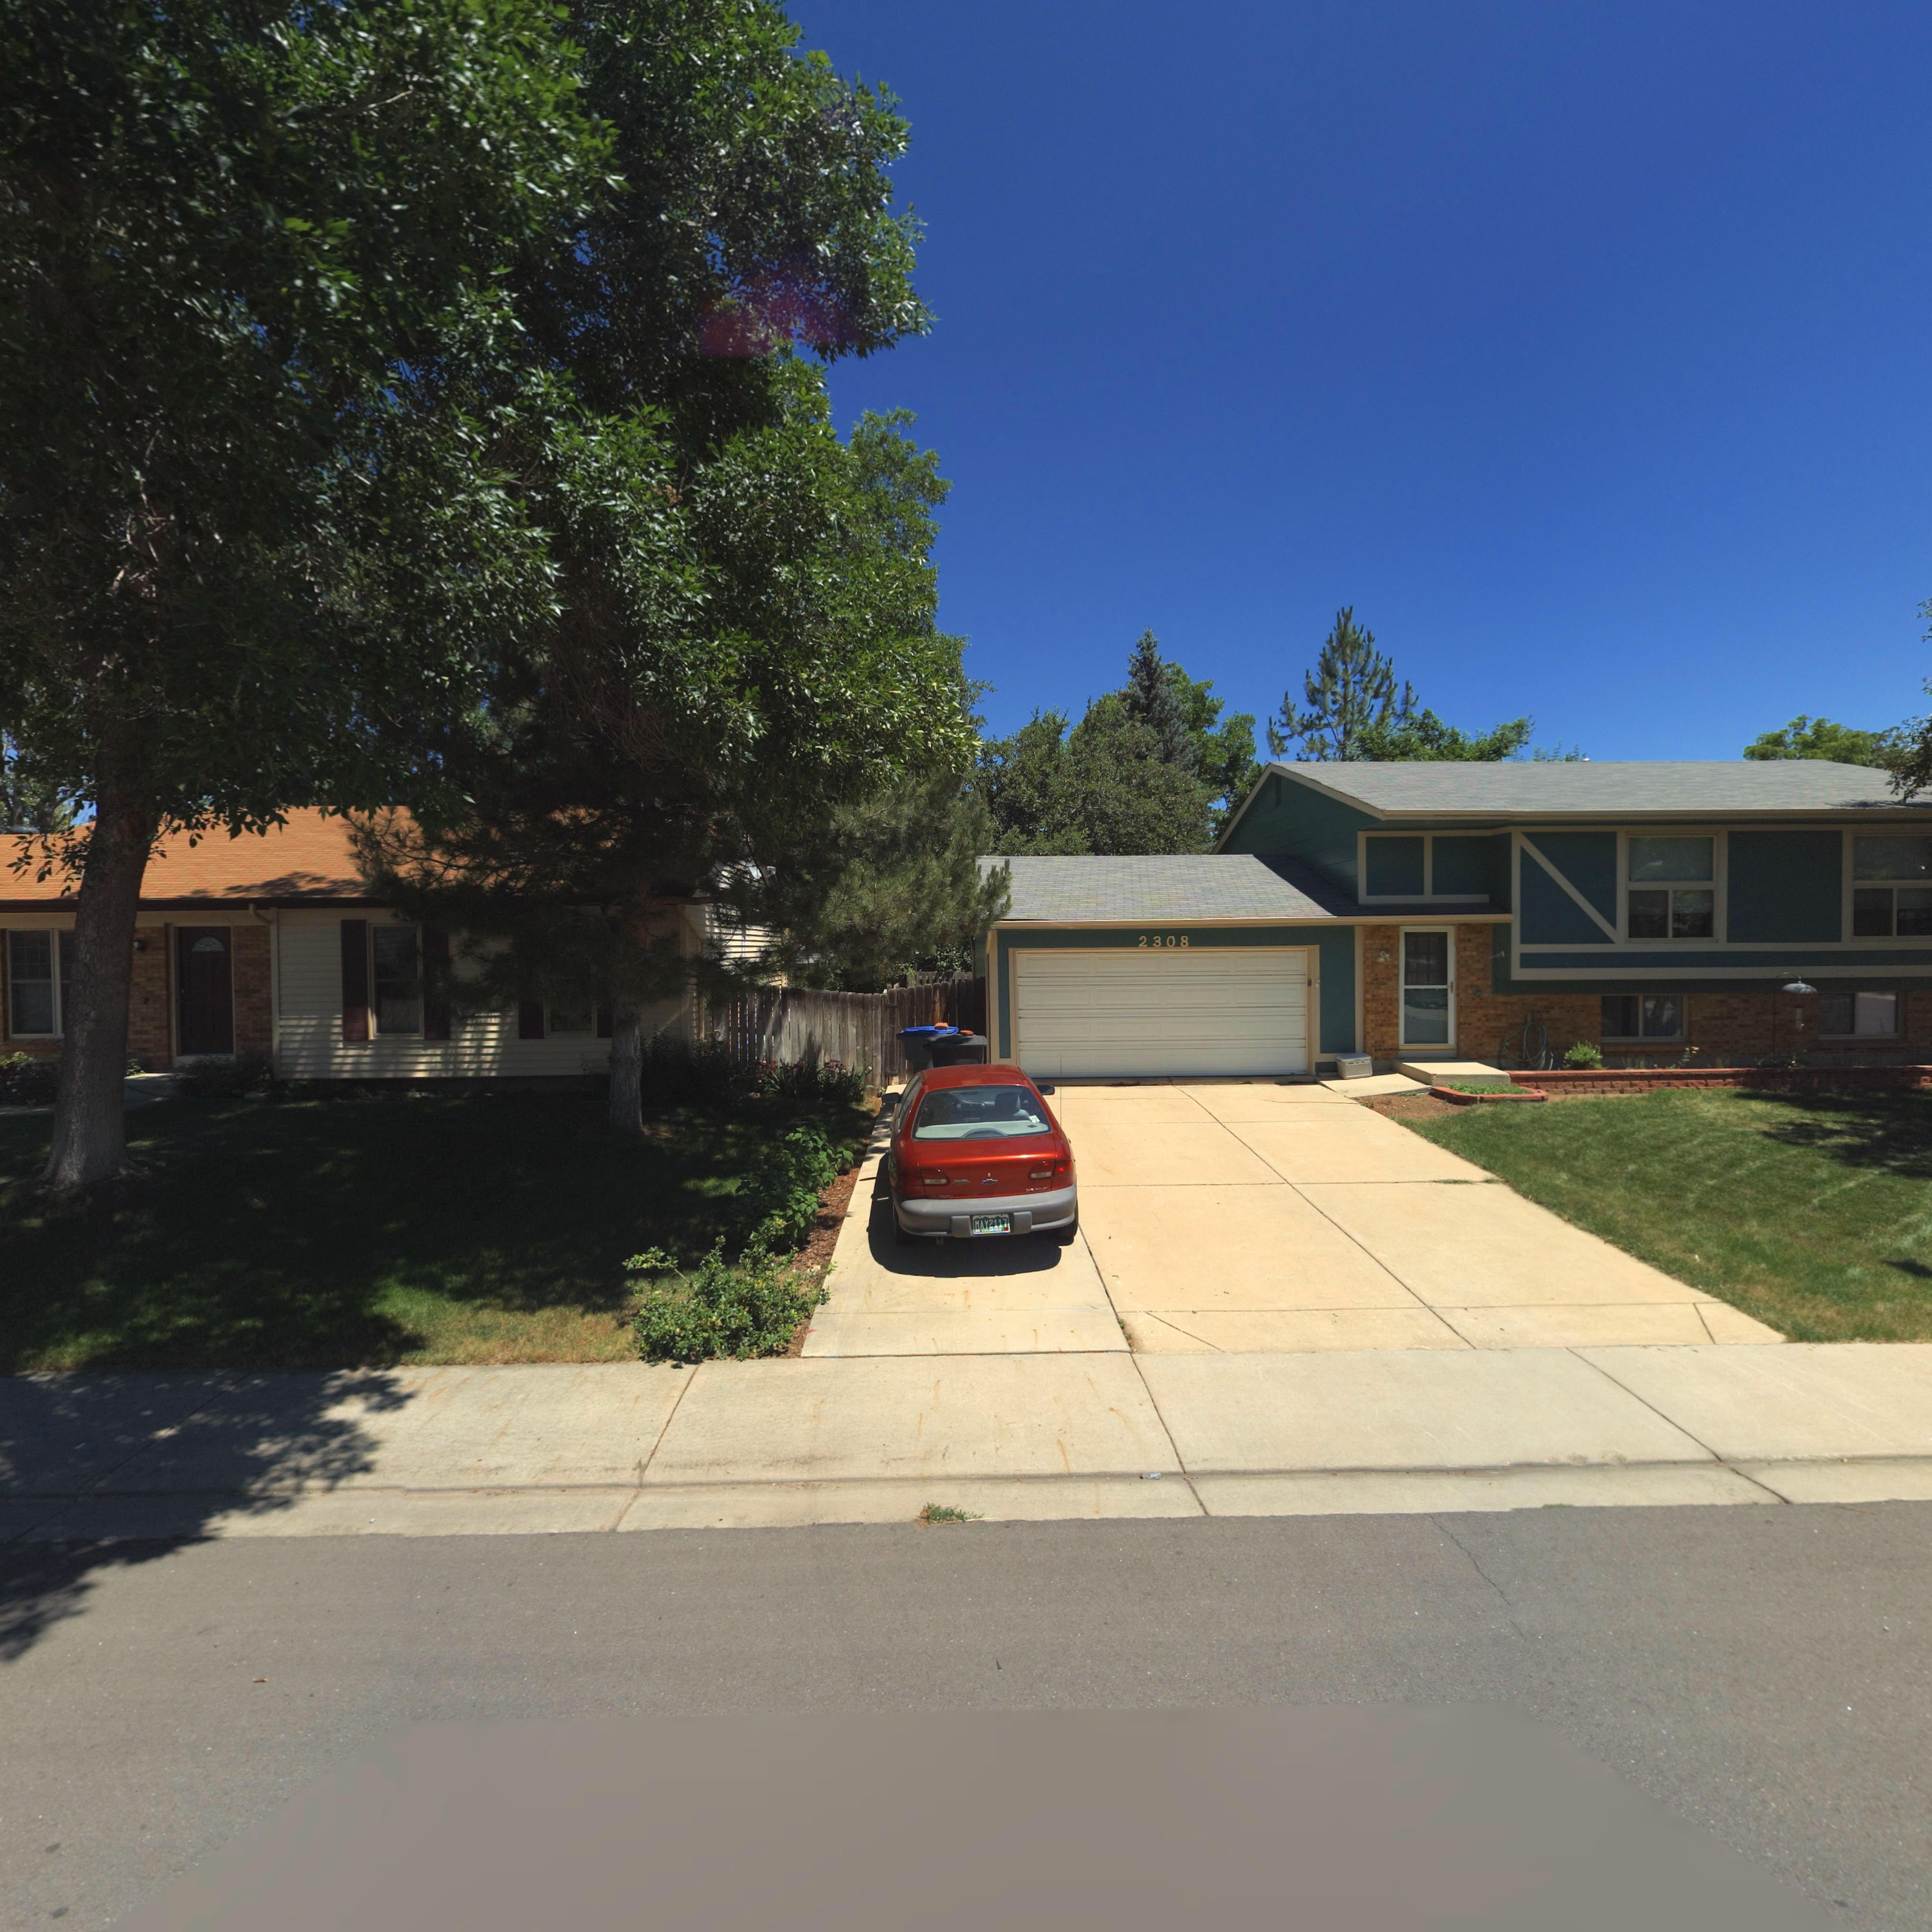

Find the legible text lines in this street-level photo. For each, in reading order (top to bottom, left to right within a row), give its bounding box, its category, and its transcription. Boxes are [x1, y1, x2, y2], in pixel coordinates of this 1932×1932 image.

[1138, 935, 1189, 947] StreetNumber: 2308